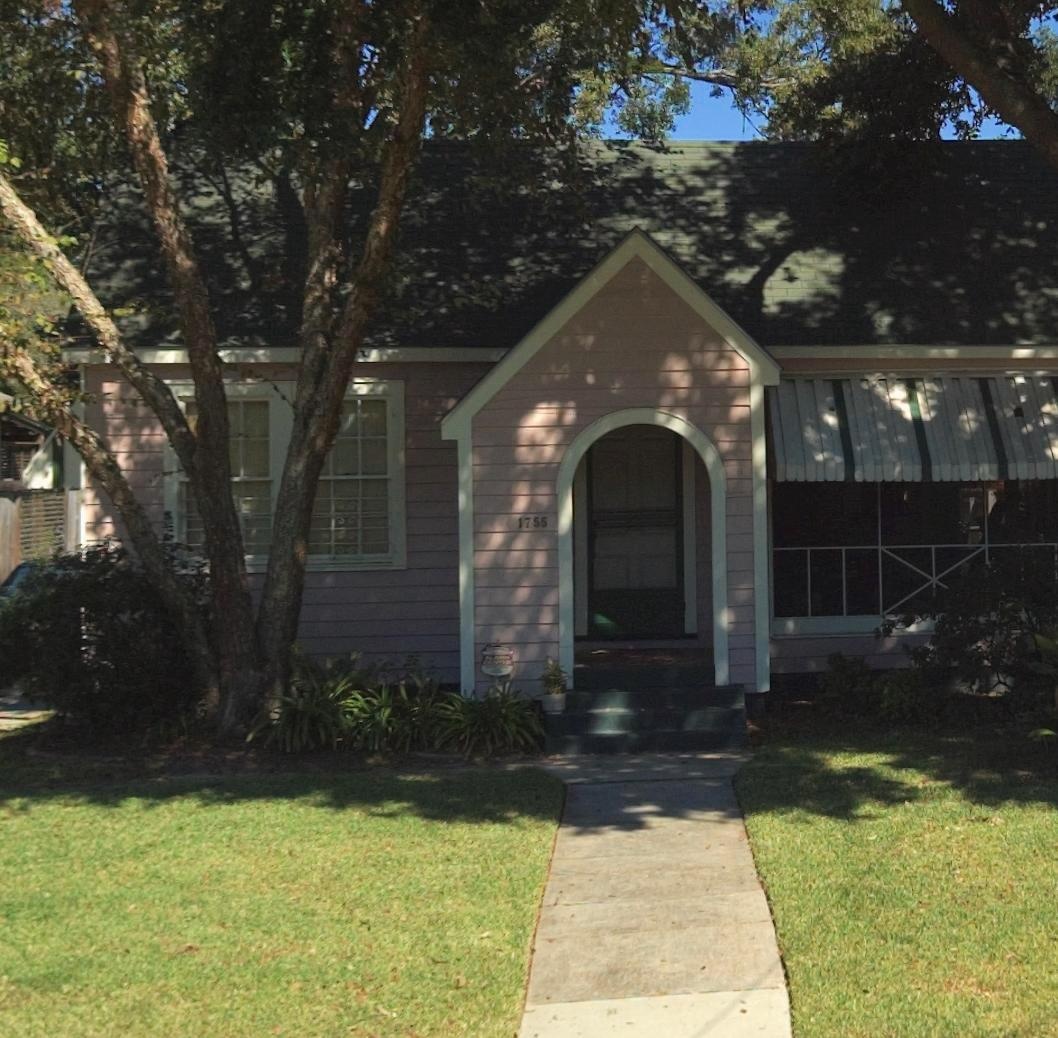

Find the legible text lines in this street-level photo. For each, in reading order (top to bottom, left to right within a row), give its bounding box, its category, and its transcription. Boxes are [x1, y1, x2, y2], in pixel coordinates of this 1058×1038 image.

[515, 514, 550, 531] StreetNumber: 1755